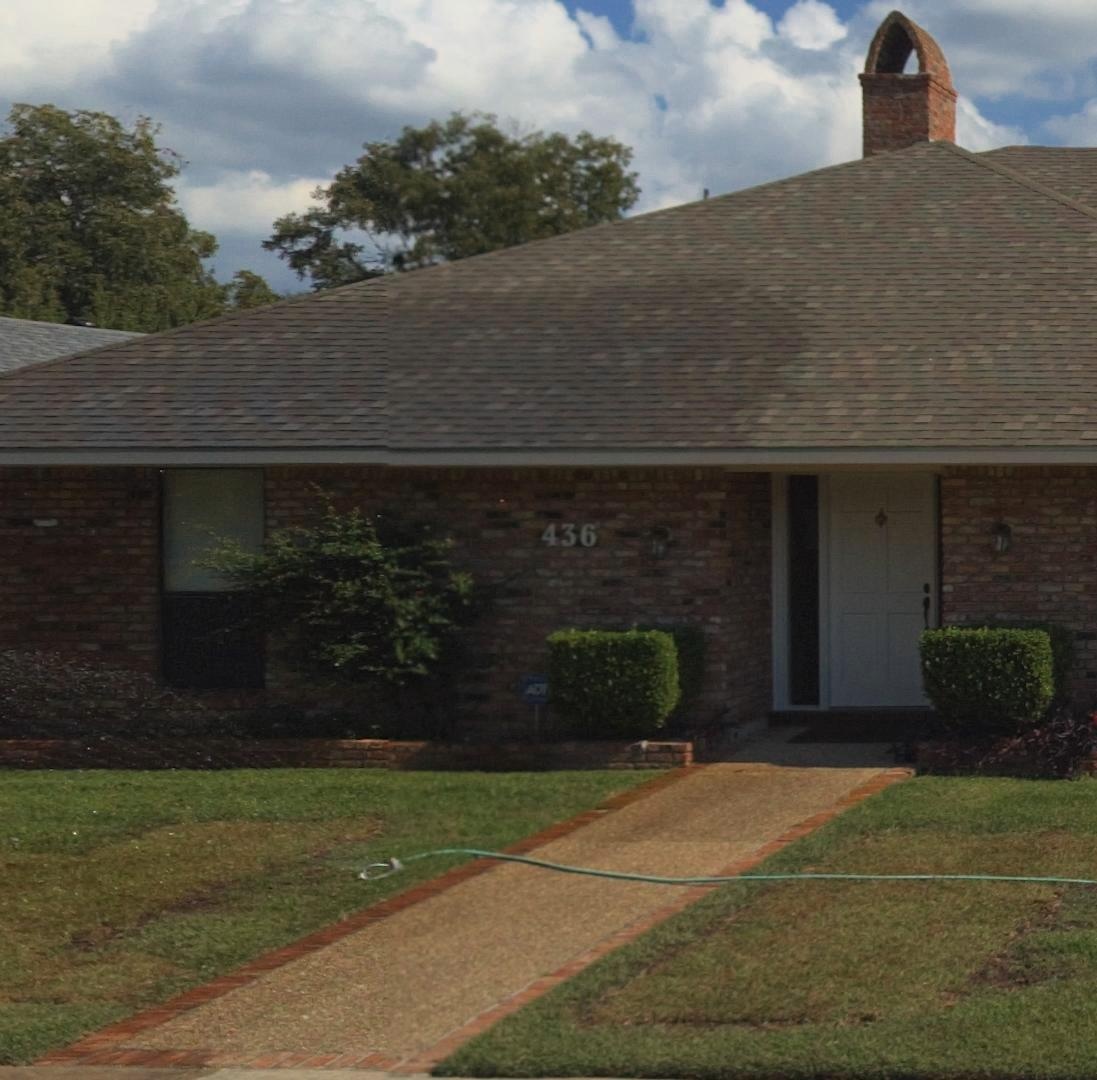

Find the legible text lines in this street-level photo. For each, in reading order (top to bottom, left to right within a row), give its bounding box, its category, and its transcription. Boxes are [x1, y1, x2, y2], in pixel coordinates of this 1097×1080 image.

[539, 522, 598, 549] StreetNumber: 436
[525, 682, 548, 694] None: ADT